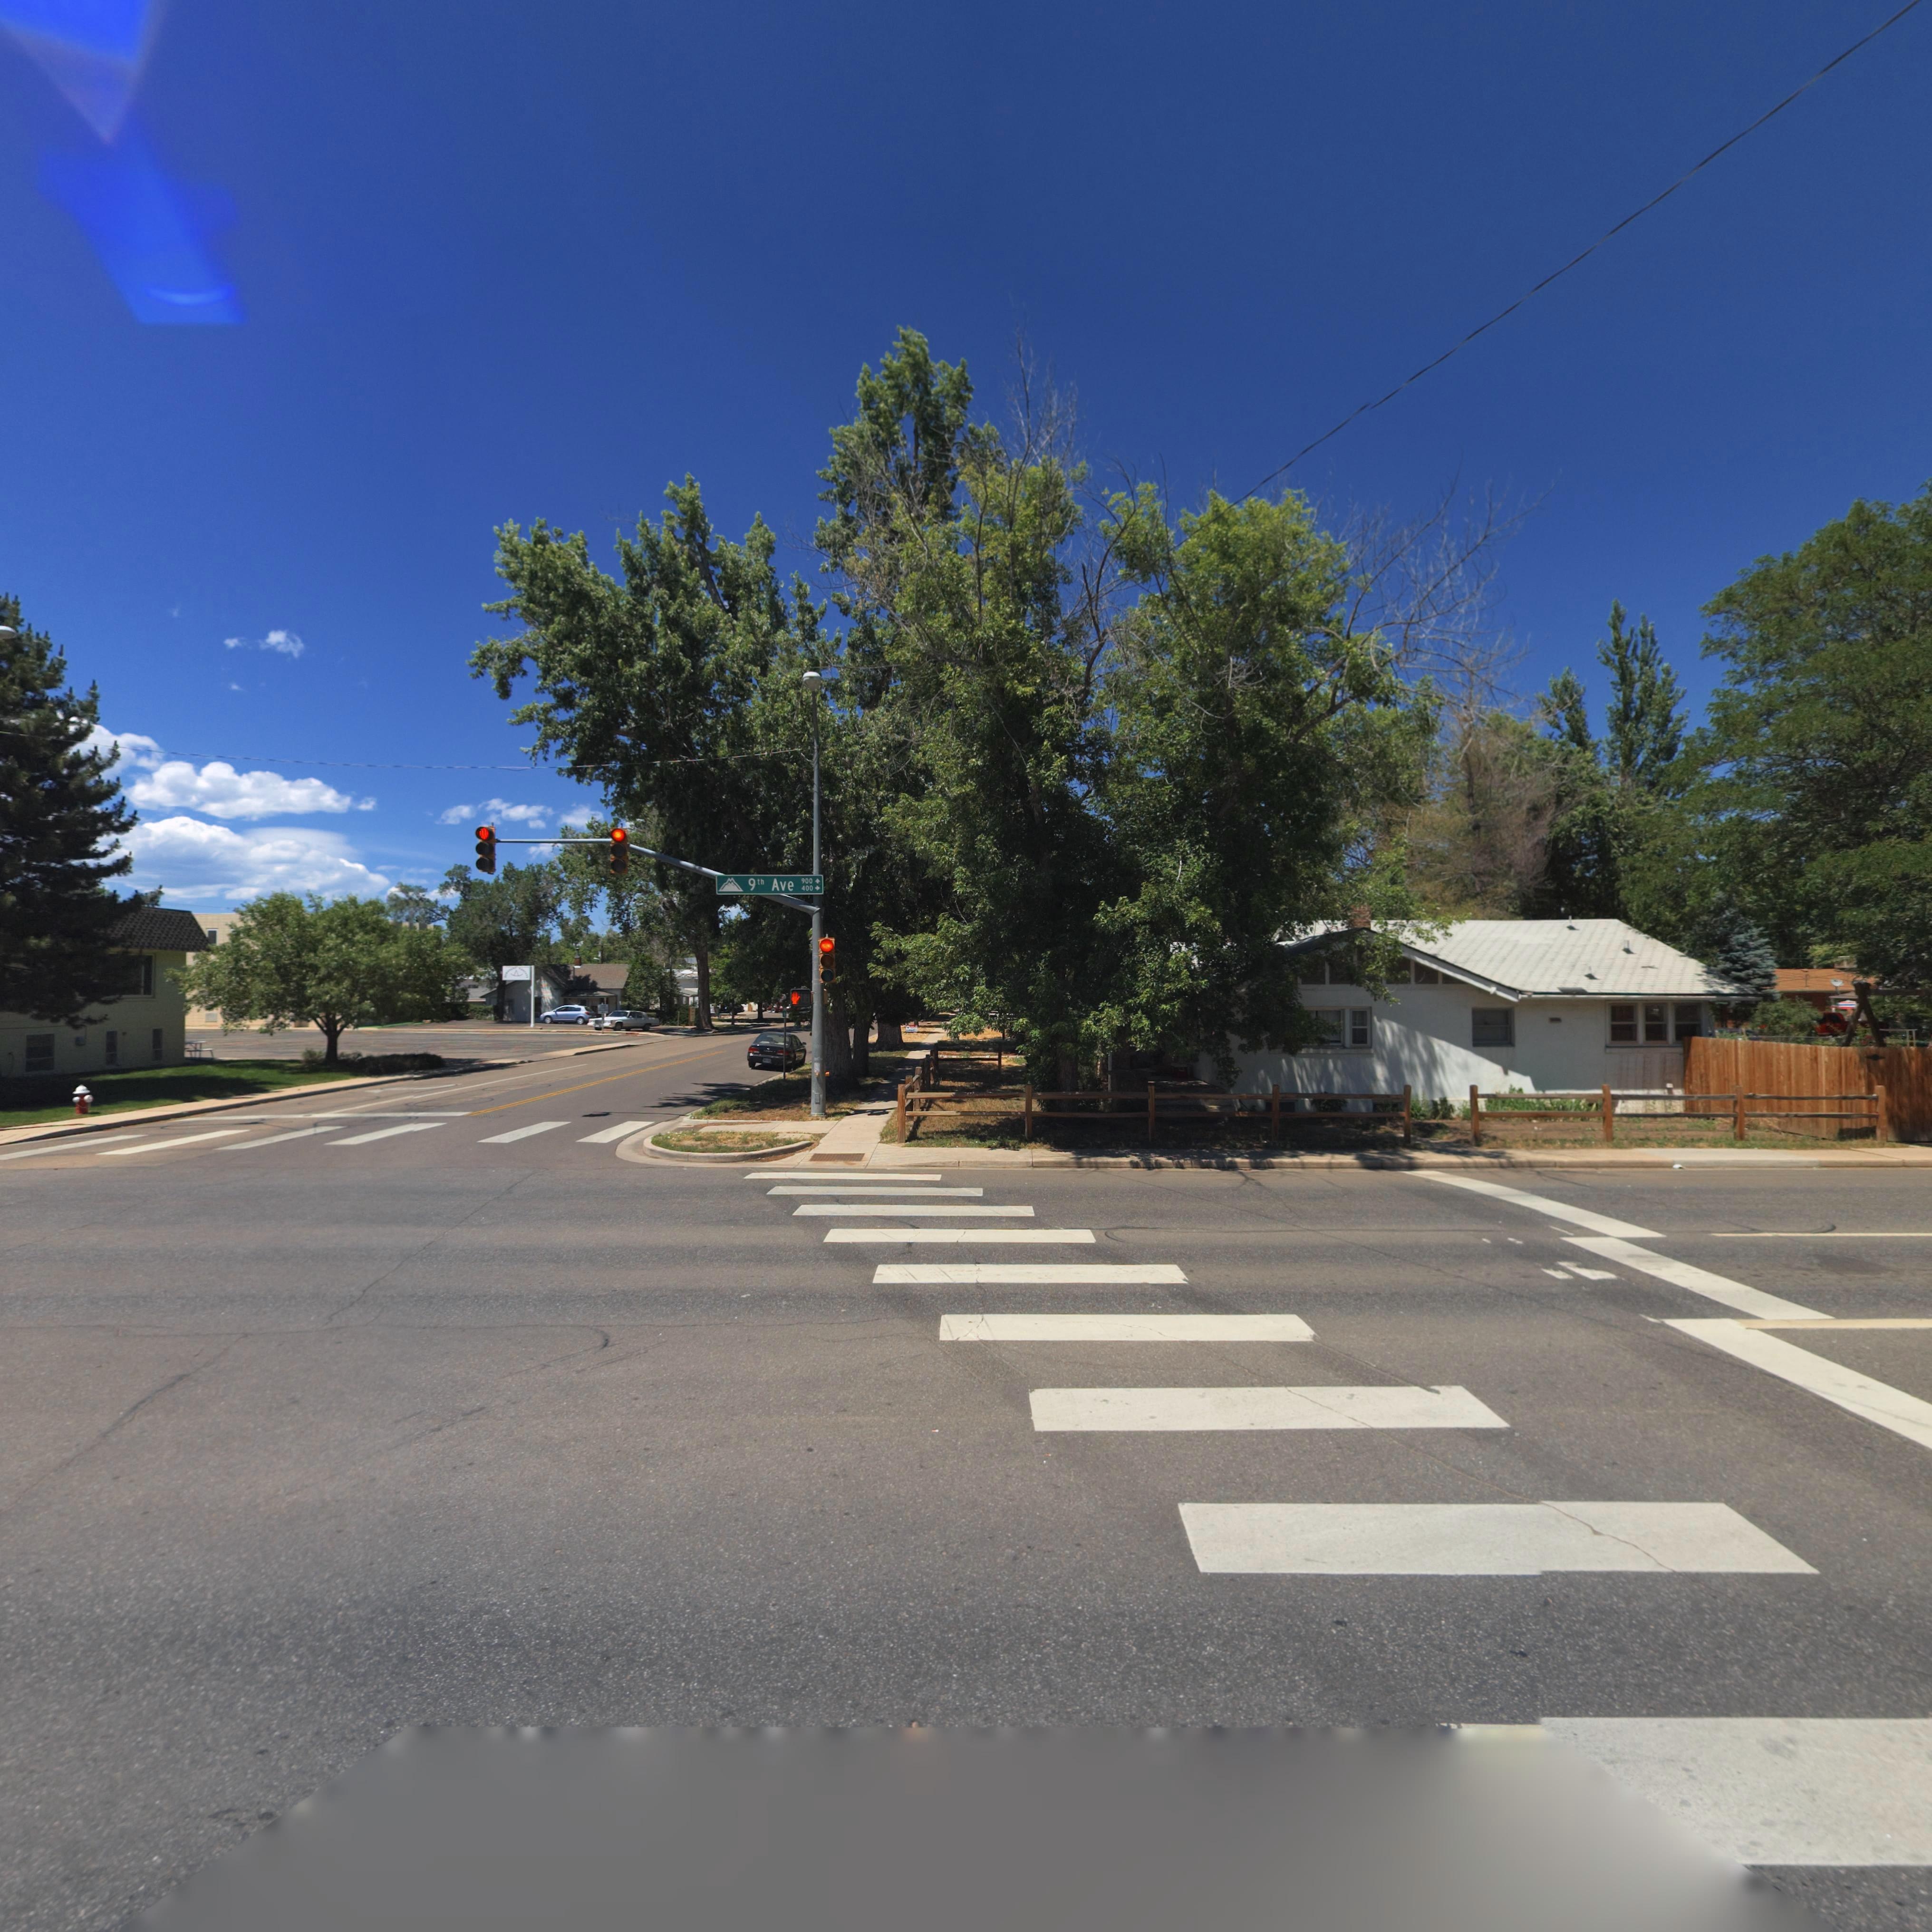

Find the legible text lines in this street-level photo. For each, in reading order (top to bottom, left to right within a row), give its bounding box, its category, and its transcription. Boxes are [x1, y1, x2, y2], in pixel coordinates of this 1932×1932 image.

[801, 877, 813, 884] StreetNumberRange: 900
[747, 877, 794, 892] StreetName: 9th Ave
[801, 885, 821, 891] StreetNumberRange: 400 ->